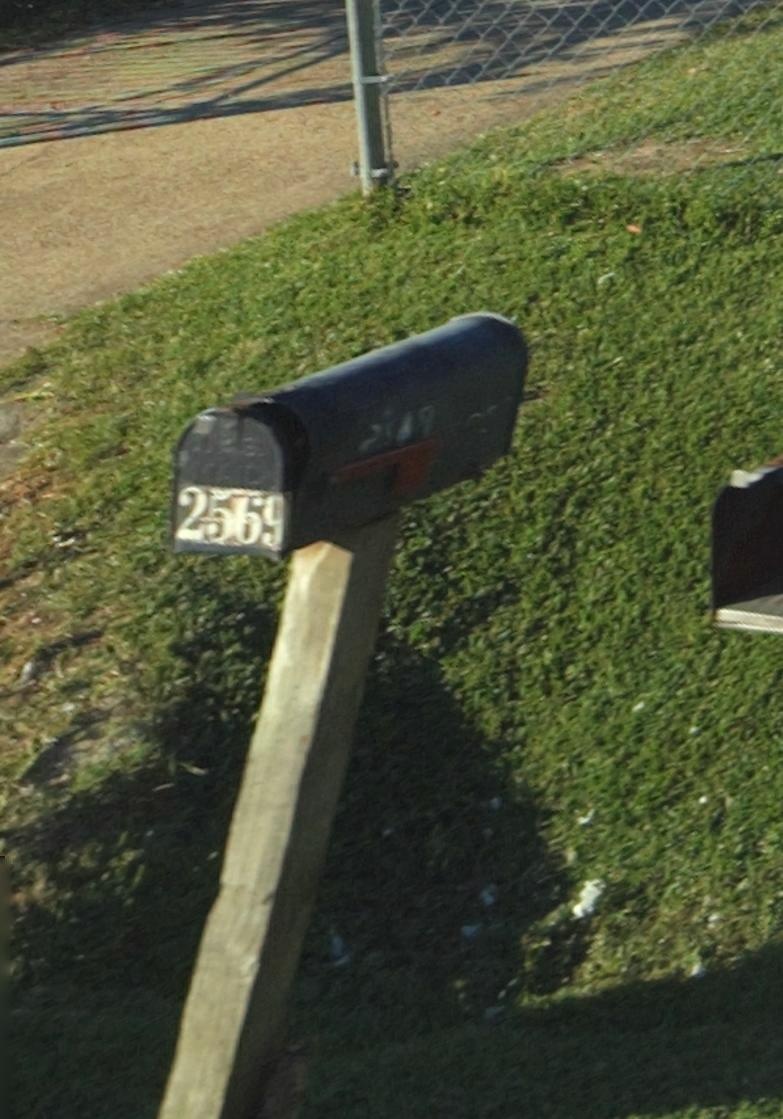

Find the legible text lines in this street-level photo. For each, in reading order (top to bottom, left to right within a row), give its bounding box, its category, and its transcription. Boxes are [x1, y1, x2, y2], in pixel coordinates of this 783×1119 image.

[356, 400, 436, 459] StreetNumber: 25*9
[173, 485, 289, 549] StreetNumber: 2569